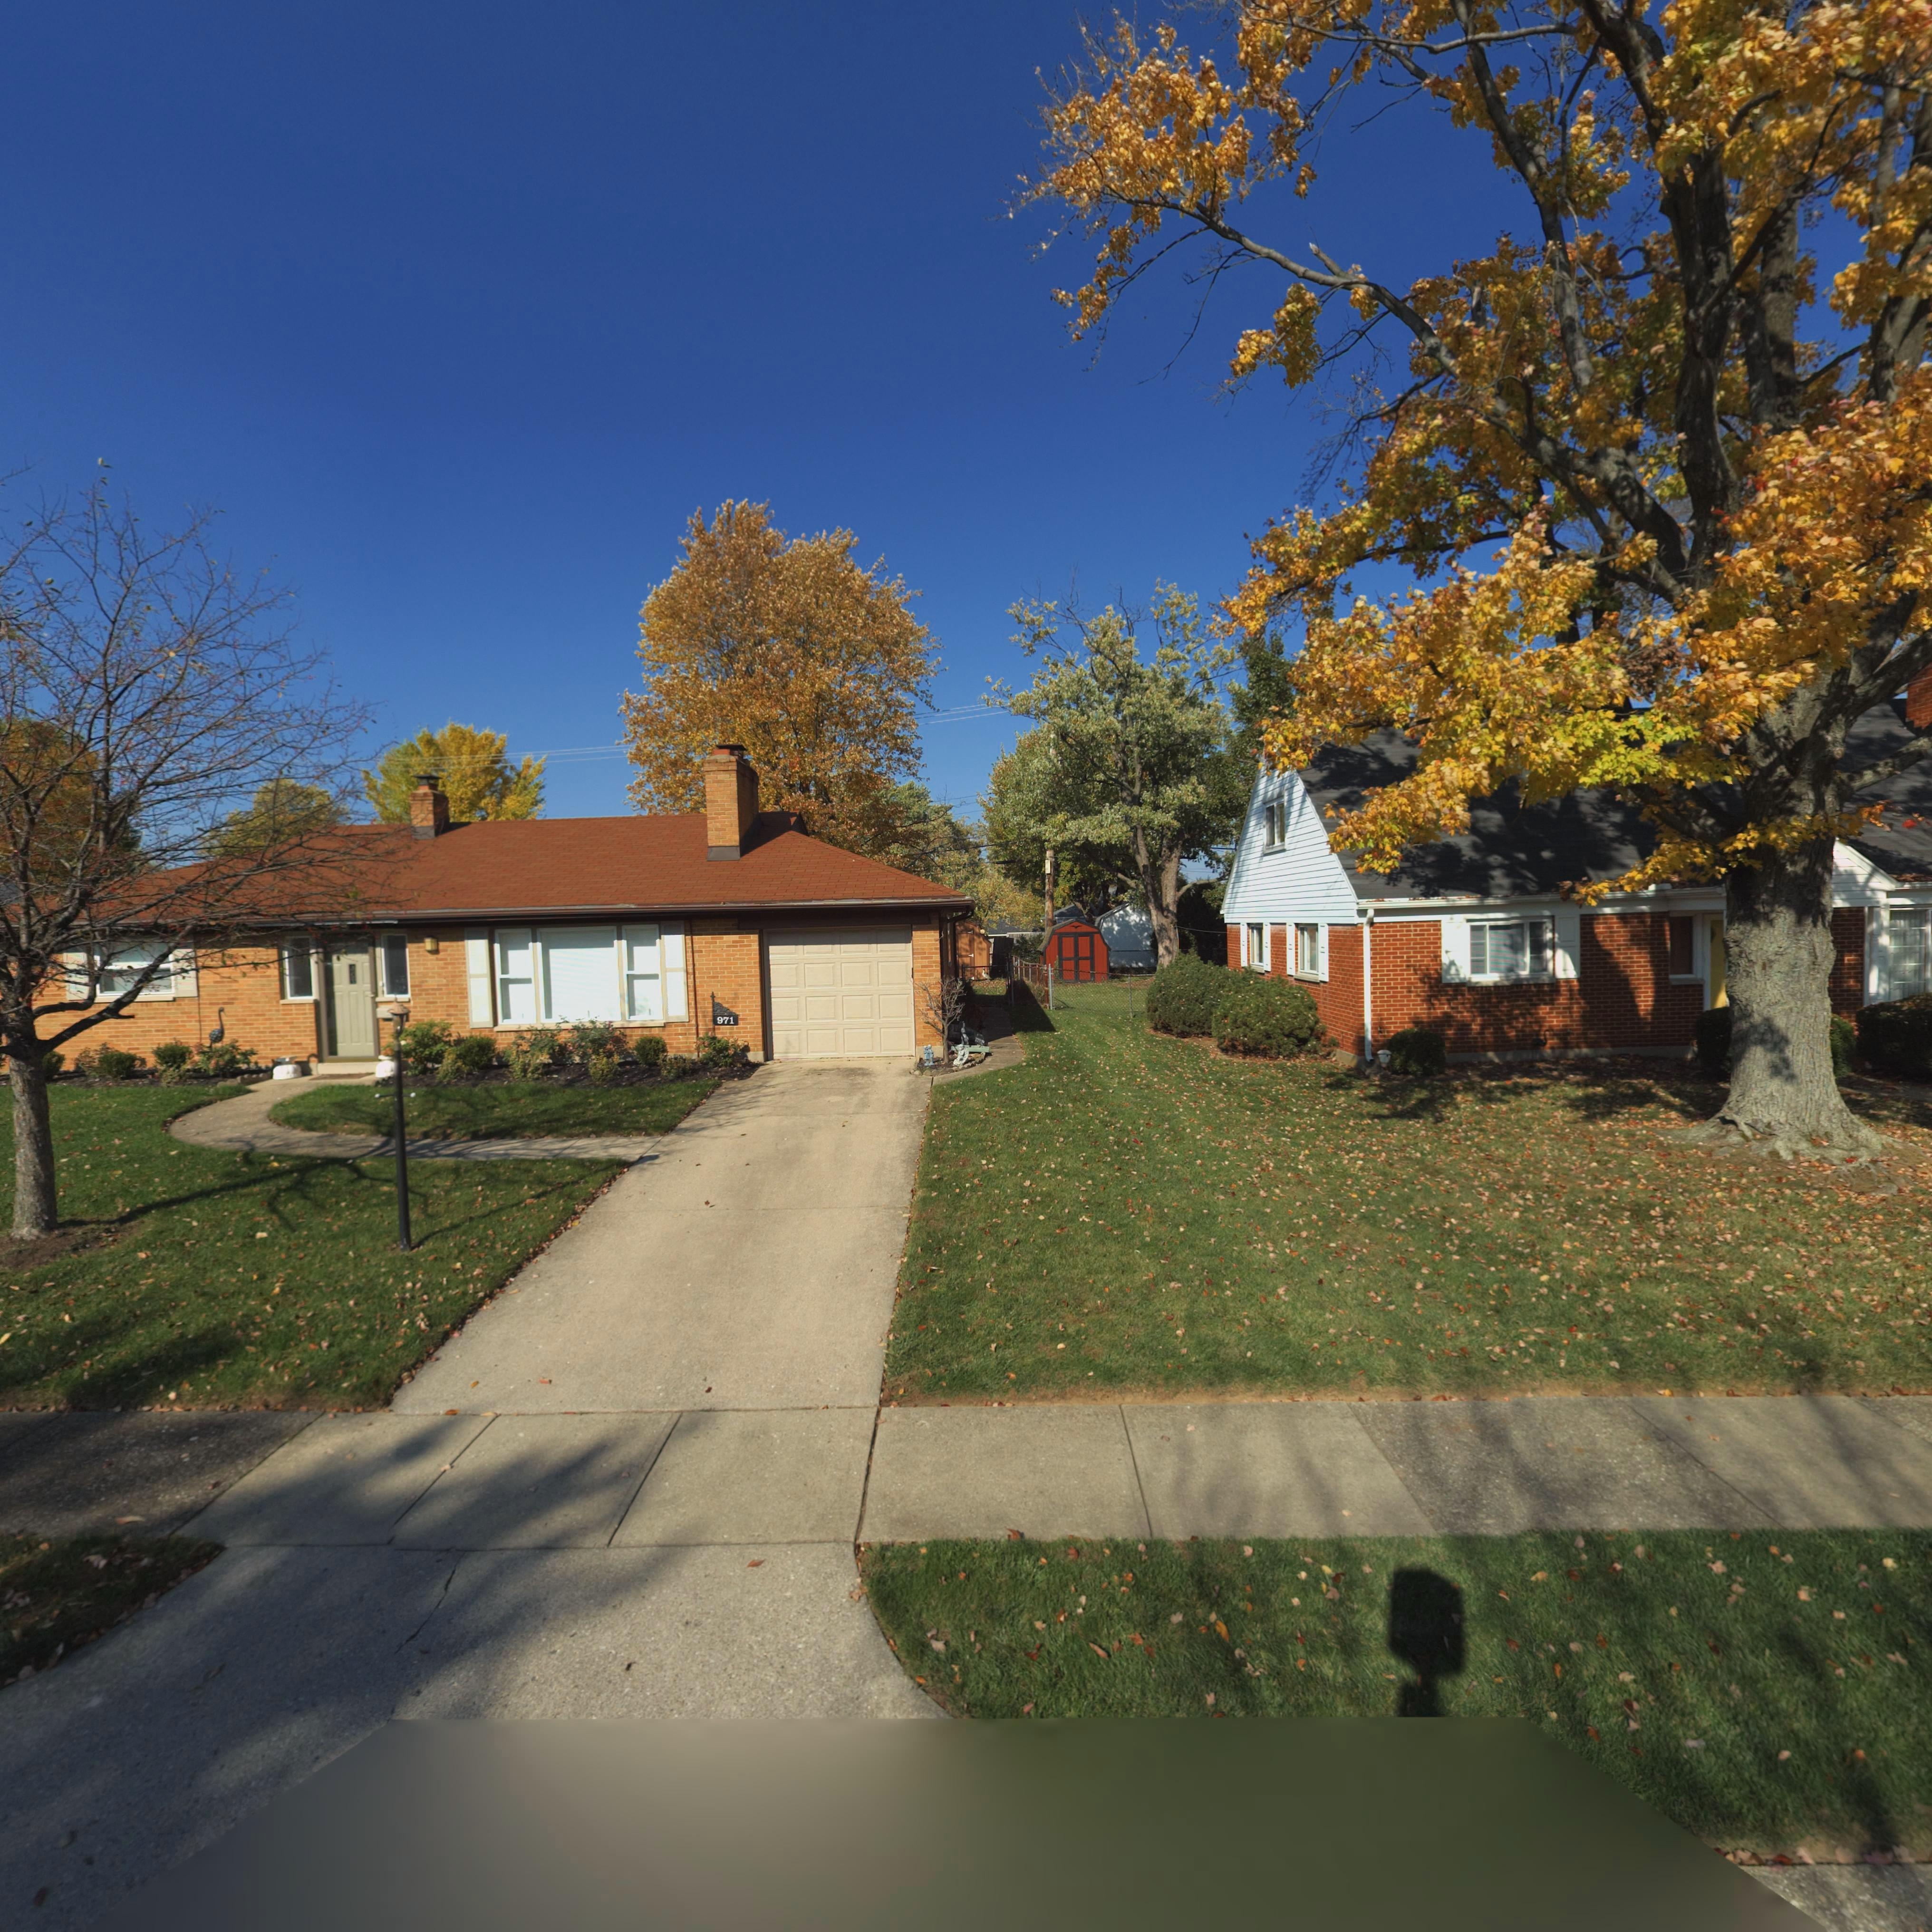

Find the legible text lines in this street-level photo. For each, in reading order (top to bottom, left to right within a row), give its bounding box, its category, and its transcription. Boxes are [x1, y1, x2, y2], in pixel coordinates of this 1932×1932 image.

[716, 1015, 735, 1025] StreetNumber: 971